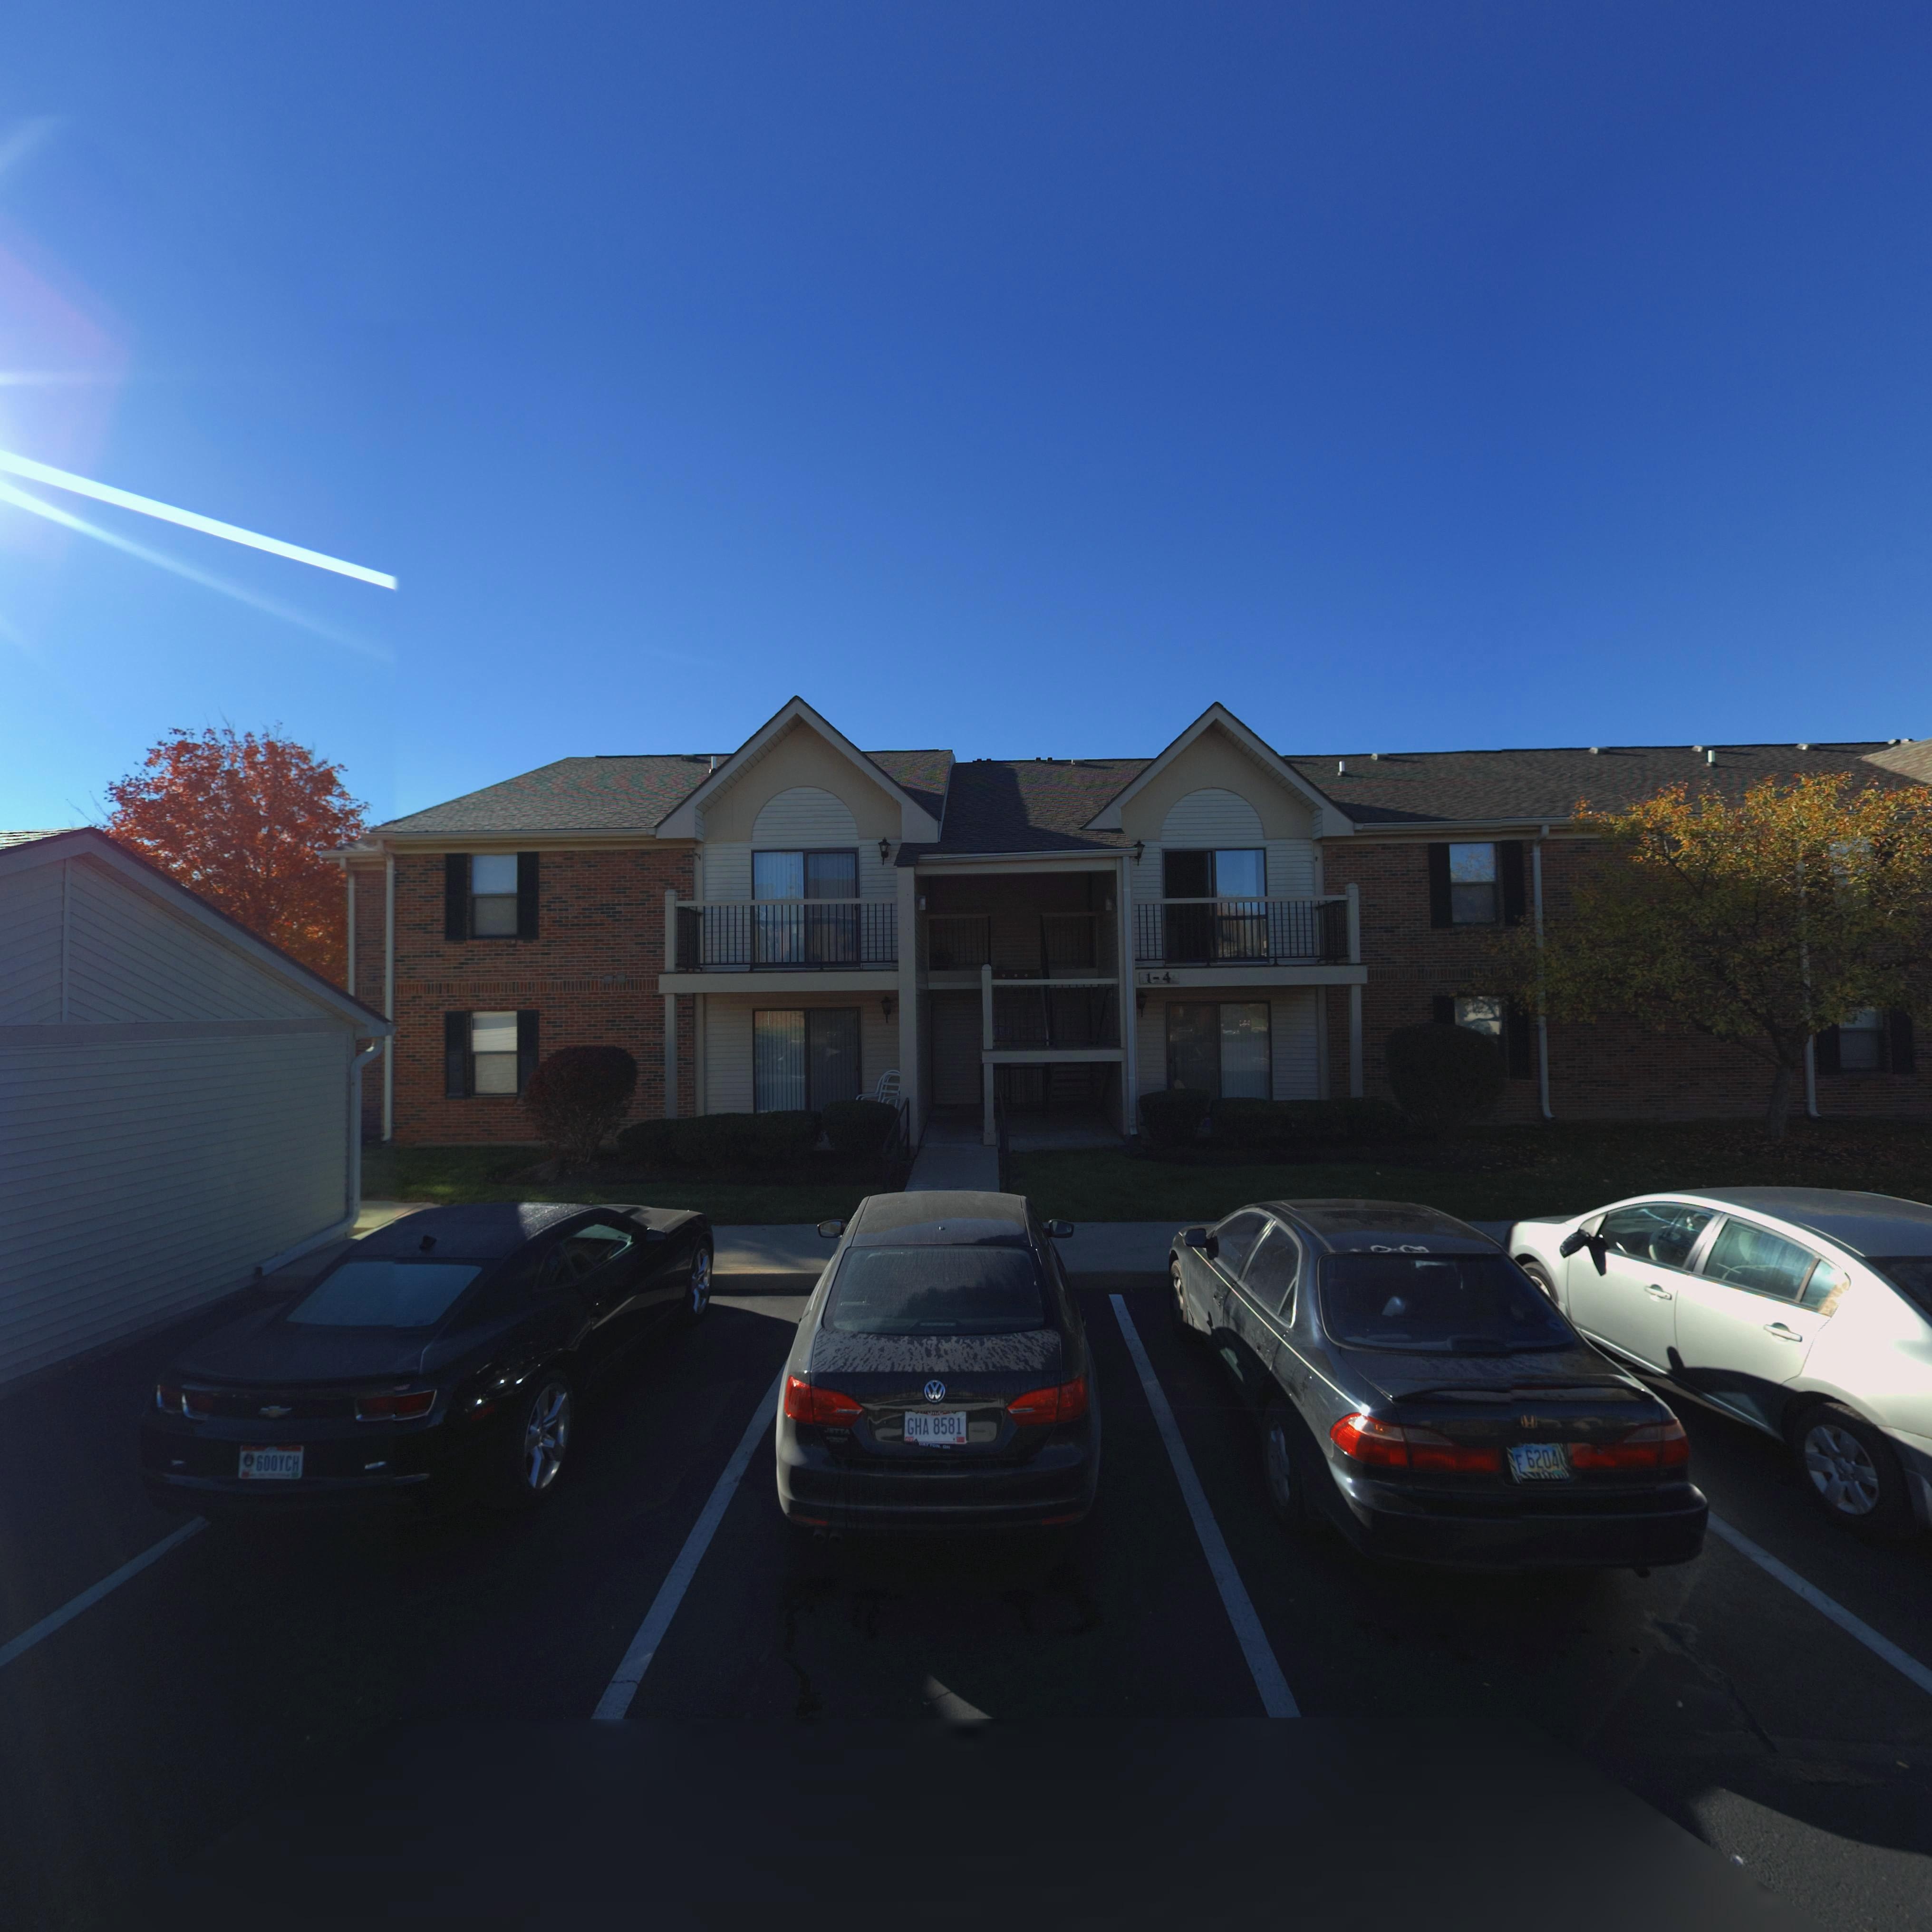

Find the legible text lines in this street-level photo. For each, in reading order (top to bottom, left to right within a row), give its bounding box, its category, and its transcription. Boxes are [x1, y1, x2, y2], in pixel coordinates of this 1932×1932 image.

[1144, 971, 1171, 984] StreetNumber: 1-4